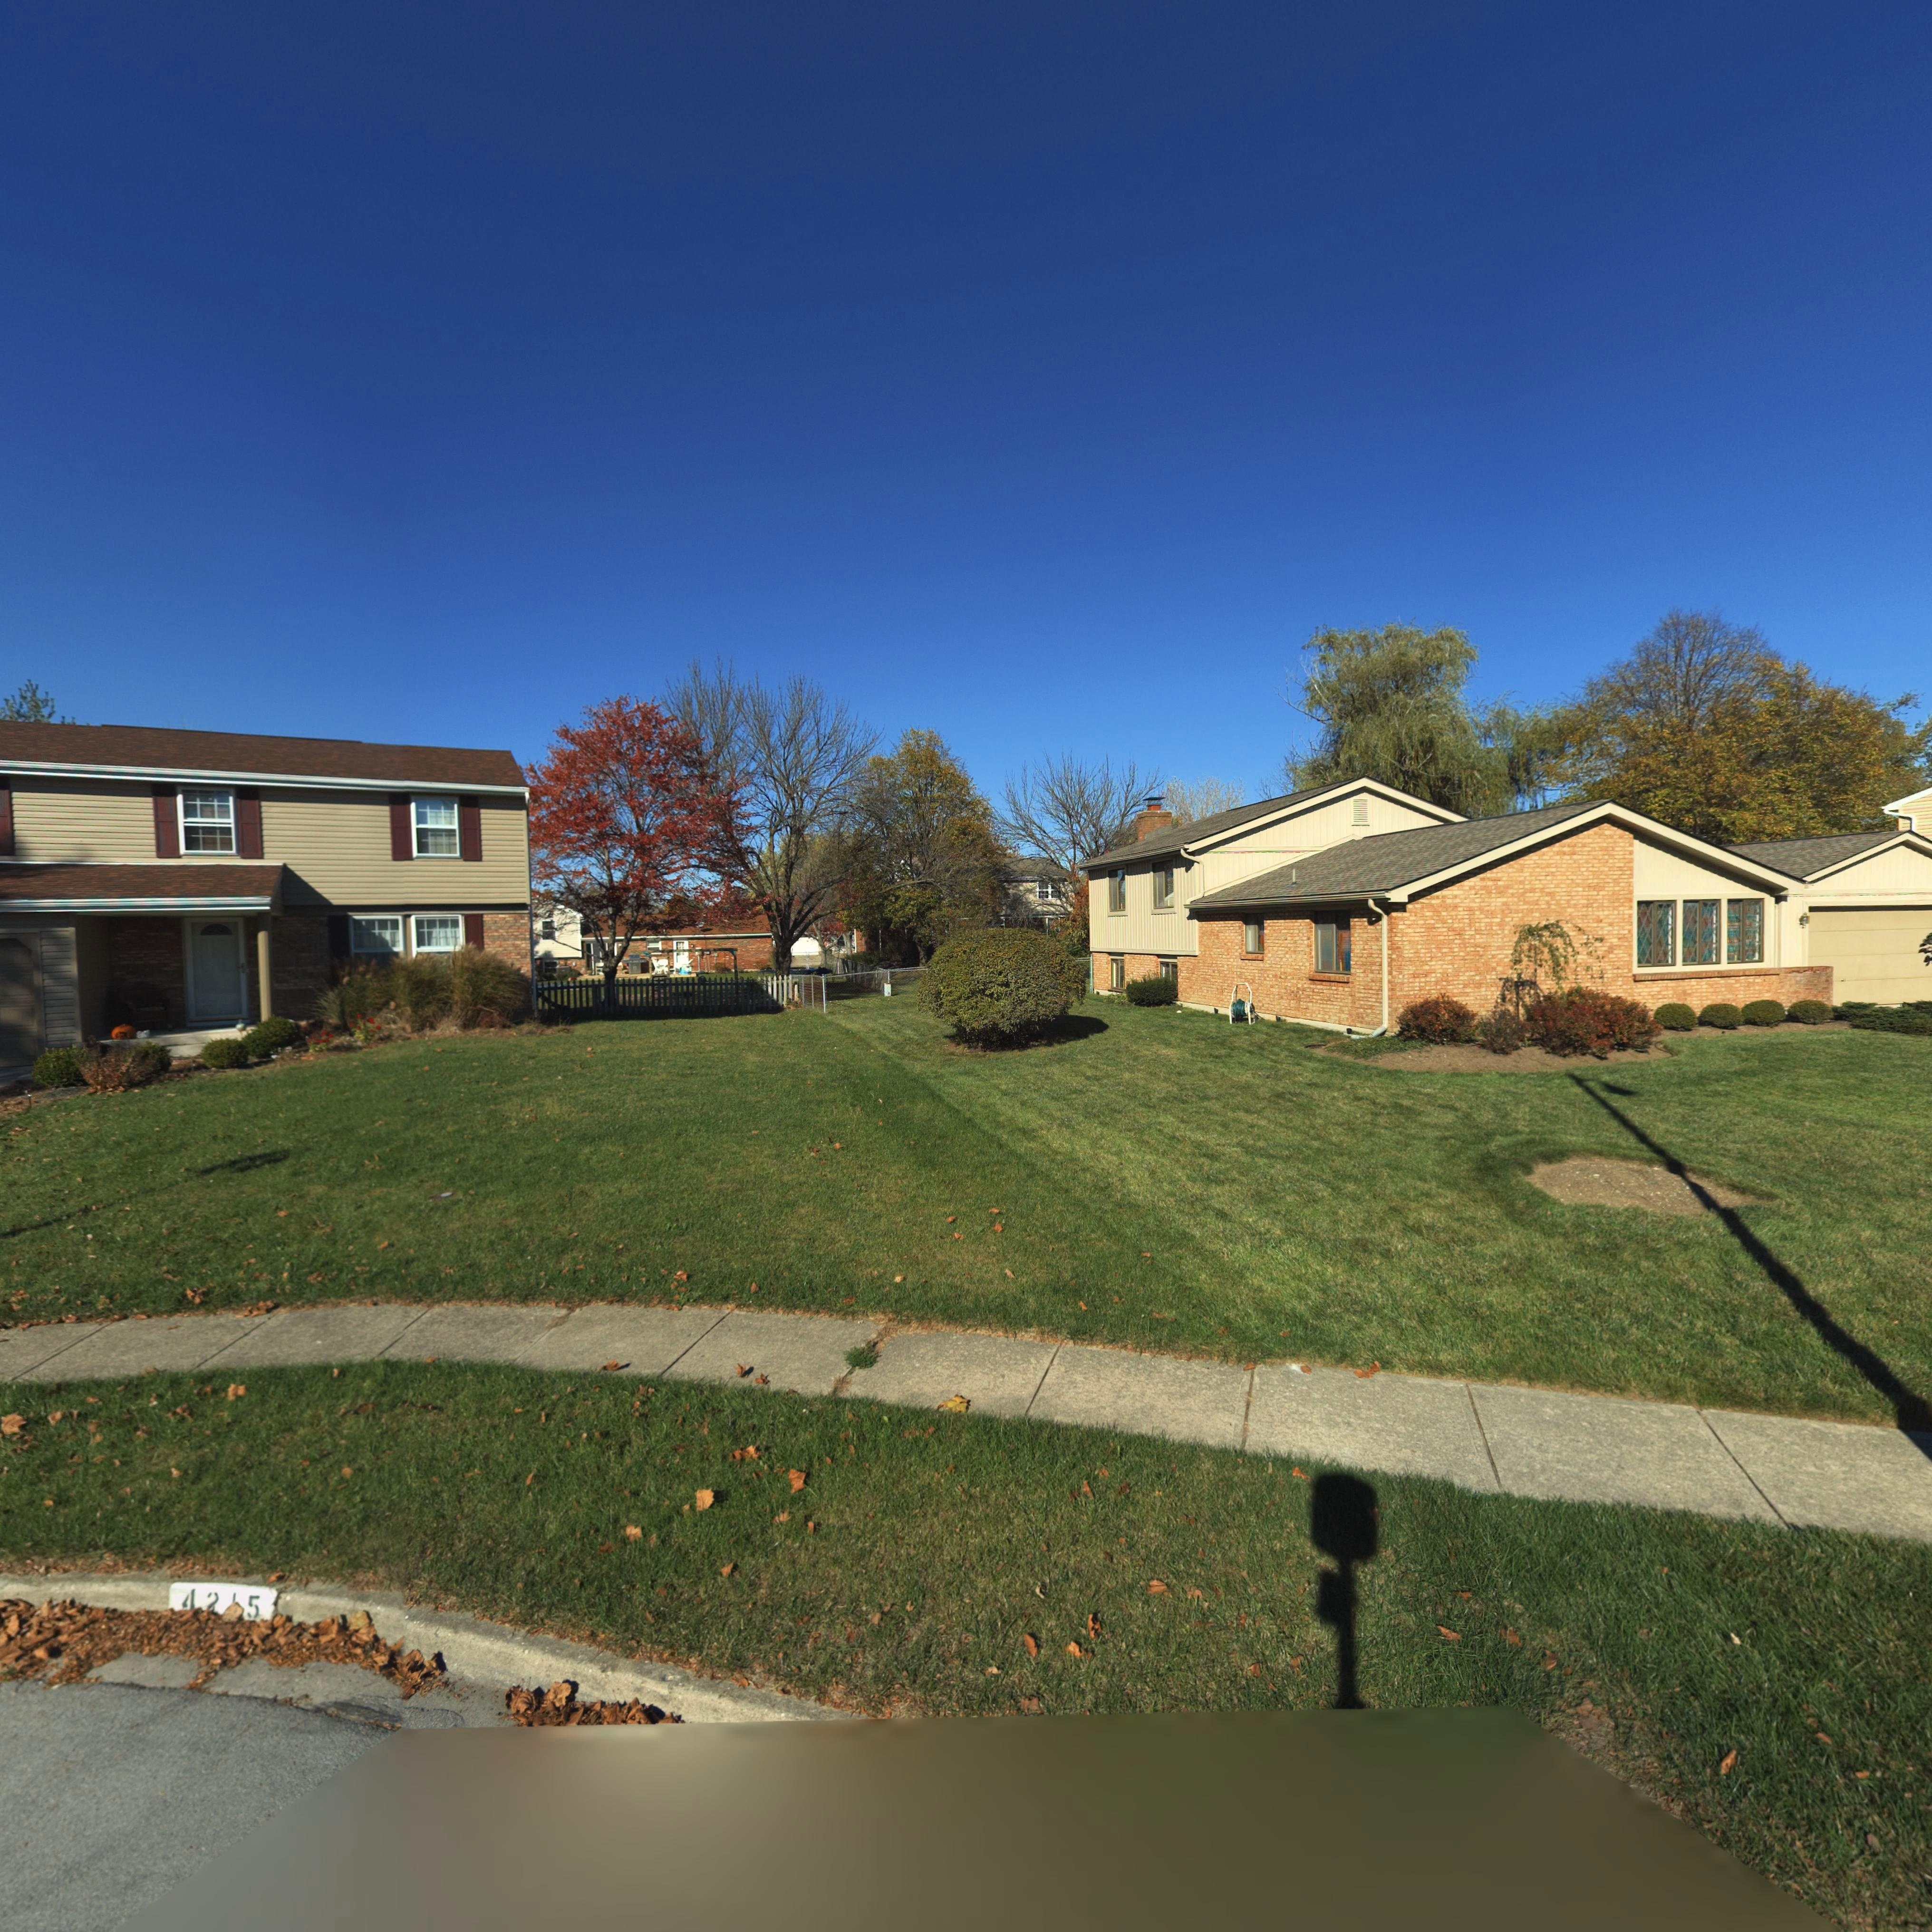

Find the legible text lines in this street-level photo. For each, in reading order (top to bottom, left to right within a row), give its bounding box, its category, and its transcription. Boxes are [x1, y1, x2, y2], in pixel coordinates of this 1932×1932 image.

[179, 1586, 262, 1622] StreetNumber: 4**5